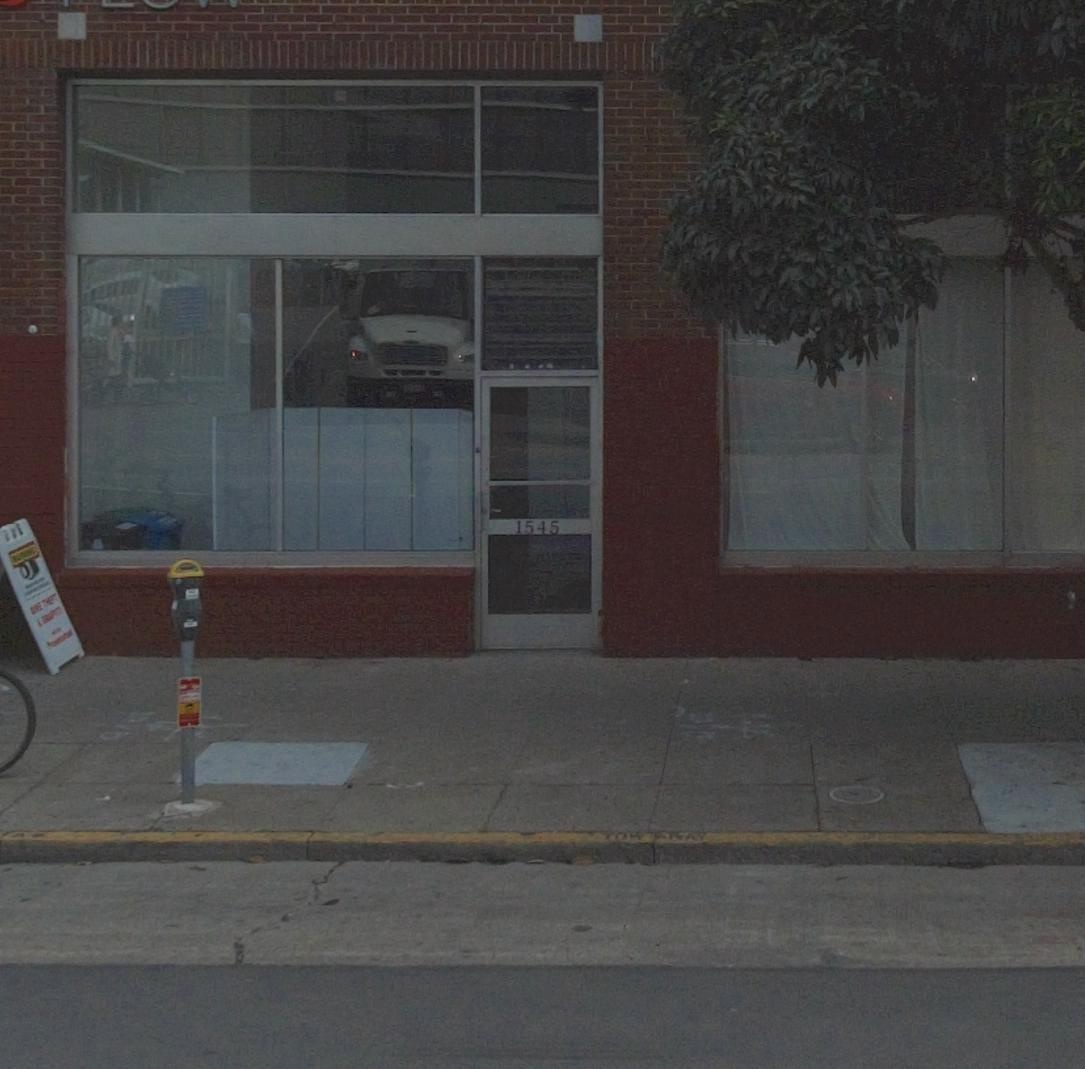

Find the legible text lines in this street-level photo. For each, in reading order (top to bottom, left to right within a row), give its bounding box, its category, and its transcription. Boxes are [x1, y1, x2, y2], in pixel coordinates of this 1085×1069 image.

[515, 520, 560, 535] StreetNumber: 1545
[602, 832, 709, 843] None: TOW AWAY